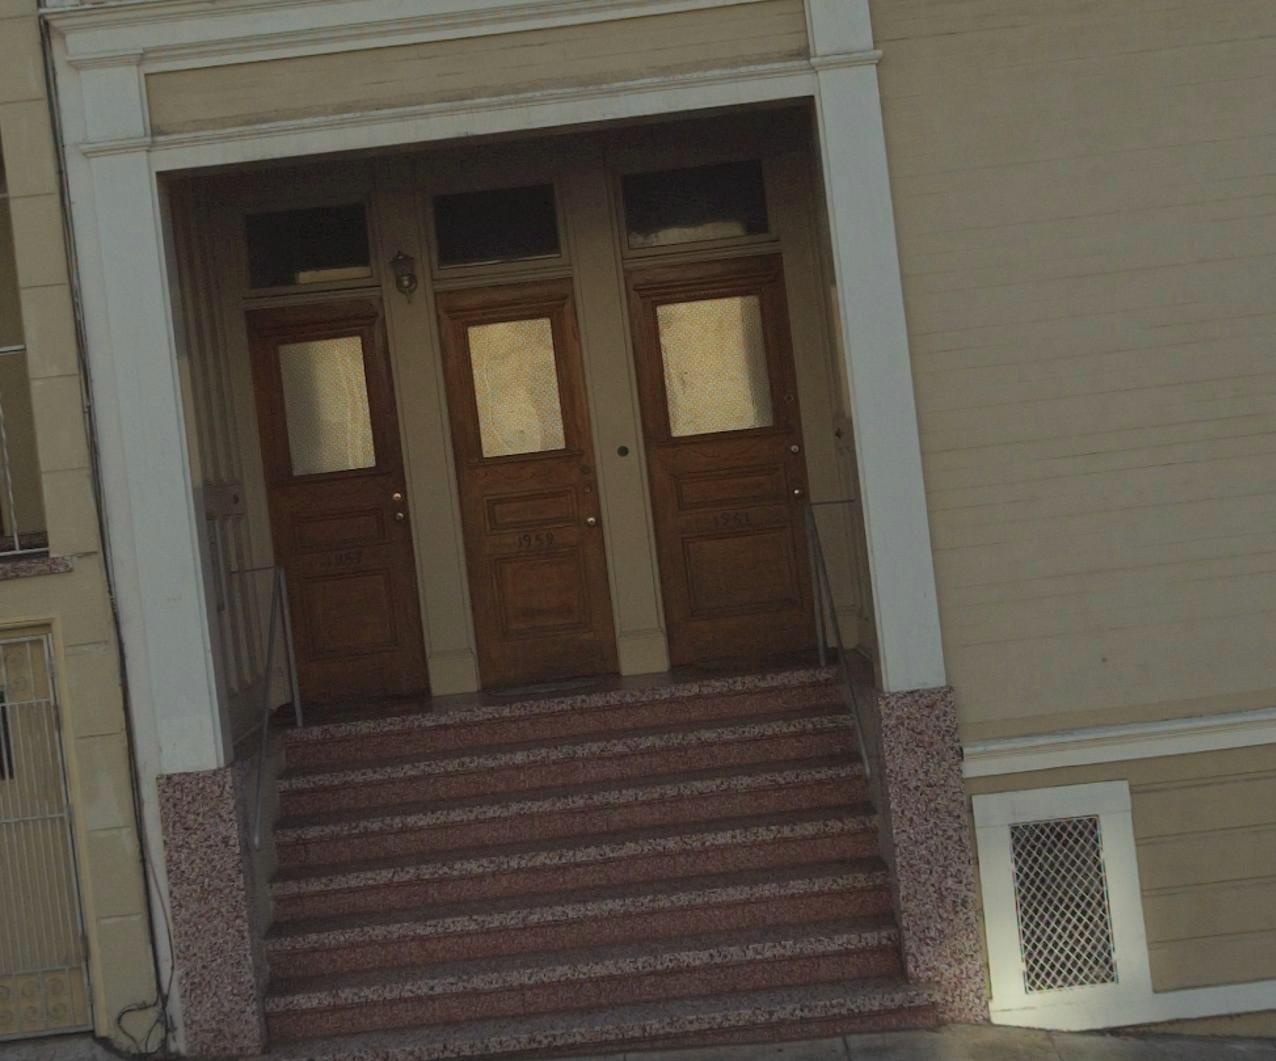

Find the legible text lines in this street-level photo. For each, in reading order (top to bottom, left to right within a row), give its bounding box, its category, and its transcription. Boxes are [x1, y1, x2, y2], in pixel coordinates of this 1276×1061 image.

[708, 507, 753, 531] StreetNumber: 1961
[512, 528, 557, 554] StreetNumber: 1959
[324, 546, 366, 570] StreetNumber: 1957